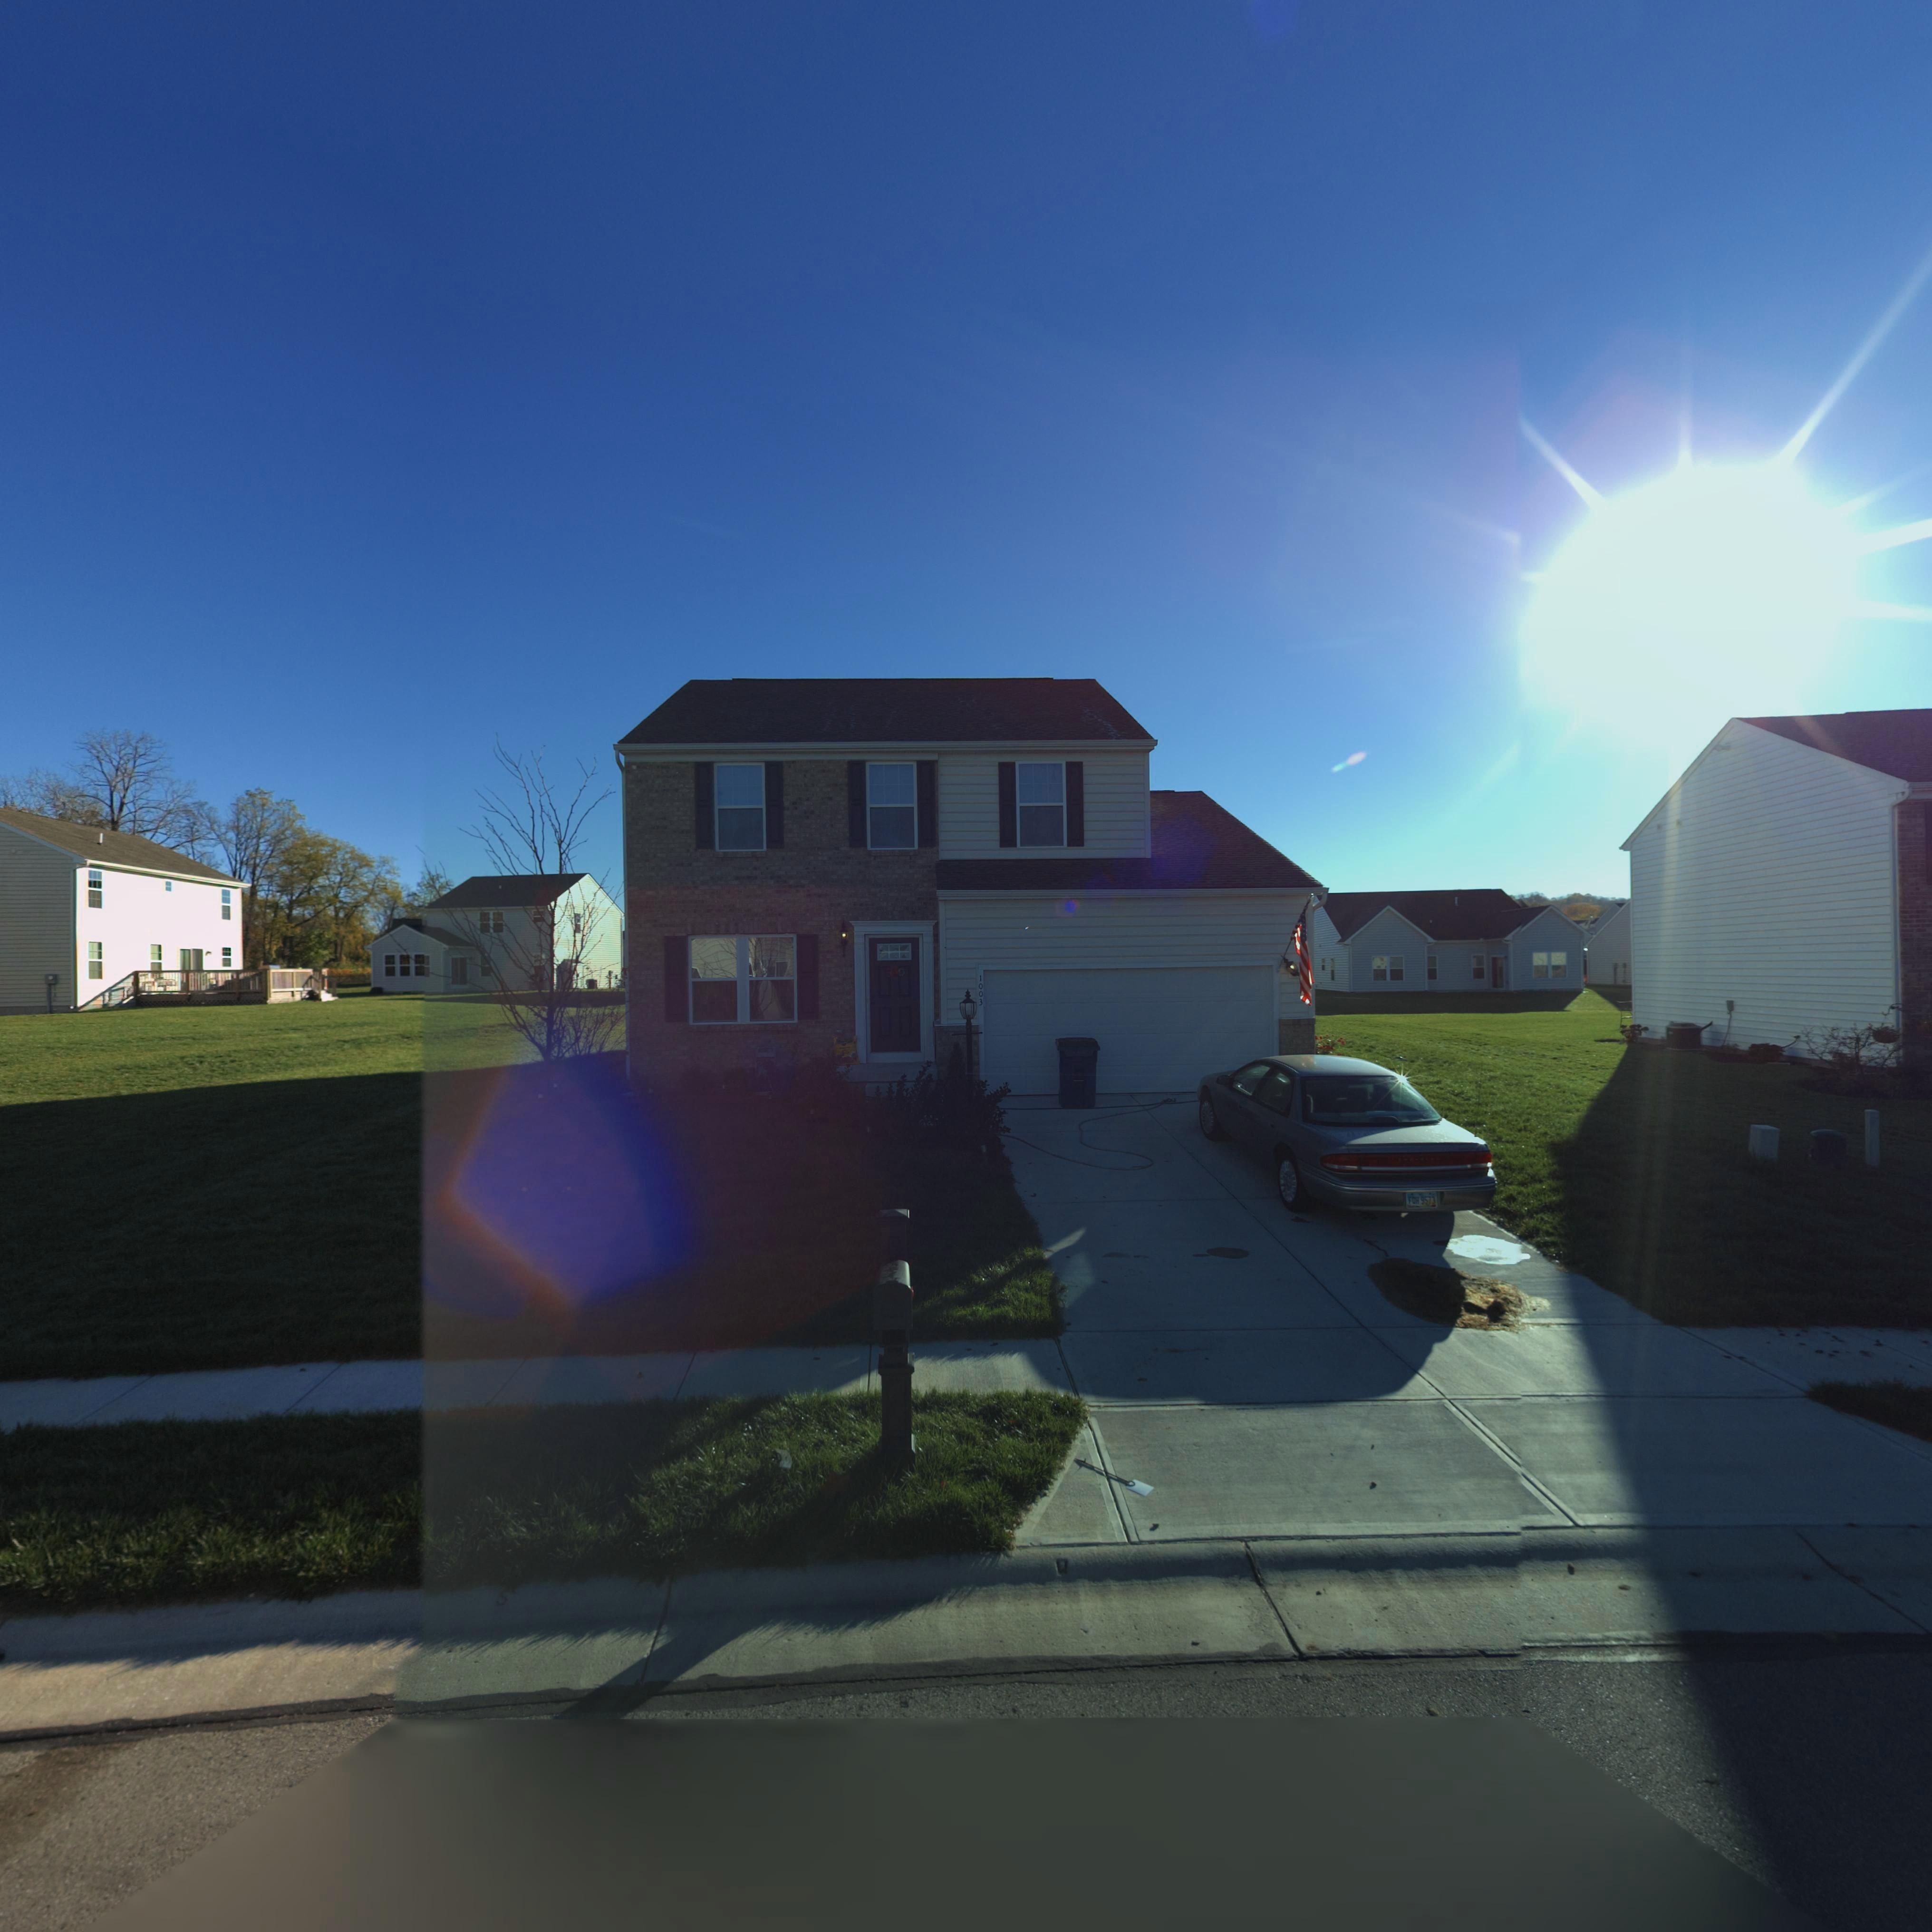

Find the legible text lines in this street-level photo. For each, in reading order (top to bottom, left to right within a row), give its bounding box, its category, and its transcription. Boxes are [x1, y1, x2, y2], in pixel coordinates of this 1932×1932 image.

[977, 974, 984, 1006] StreetNumber: 1003